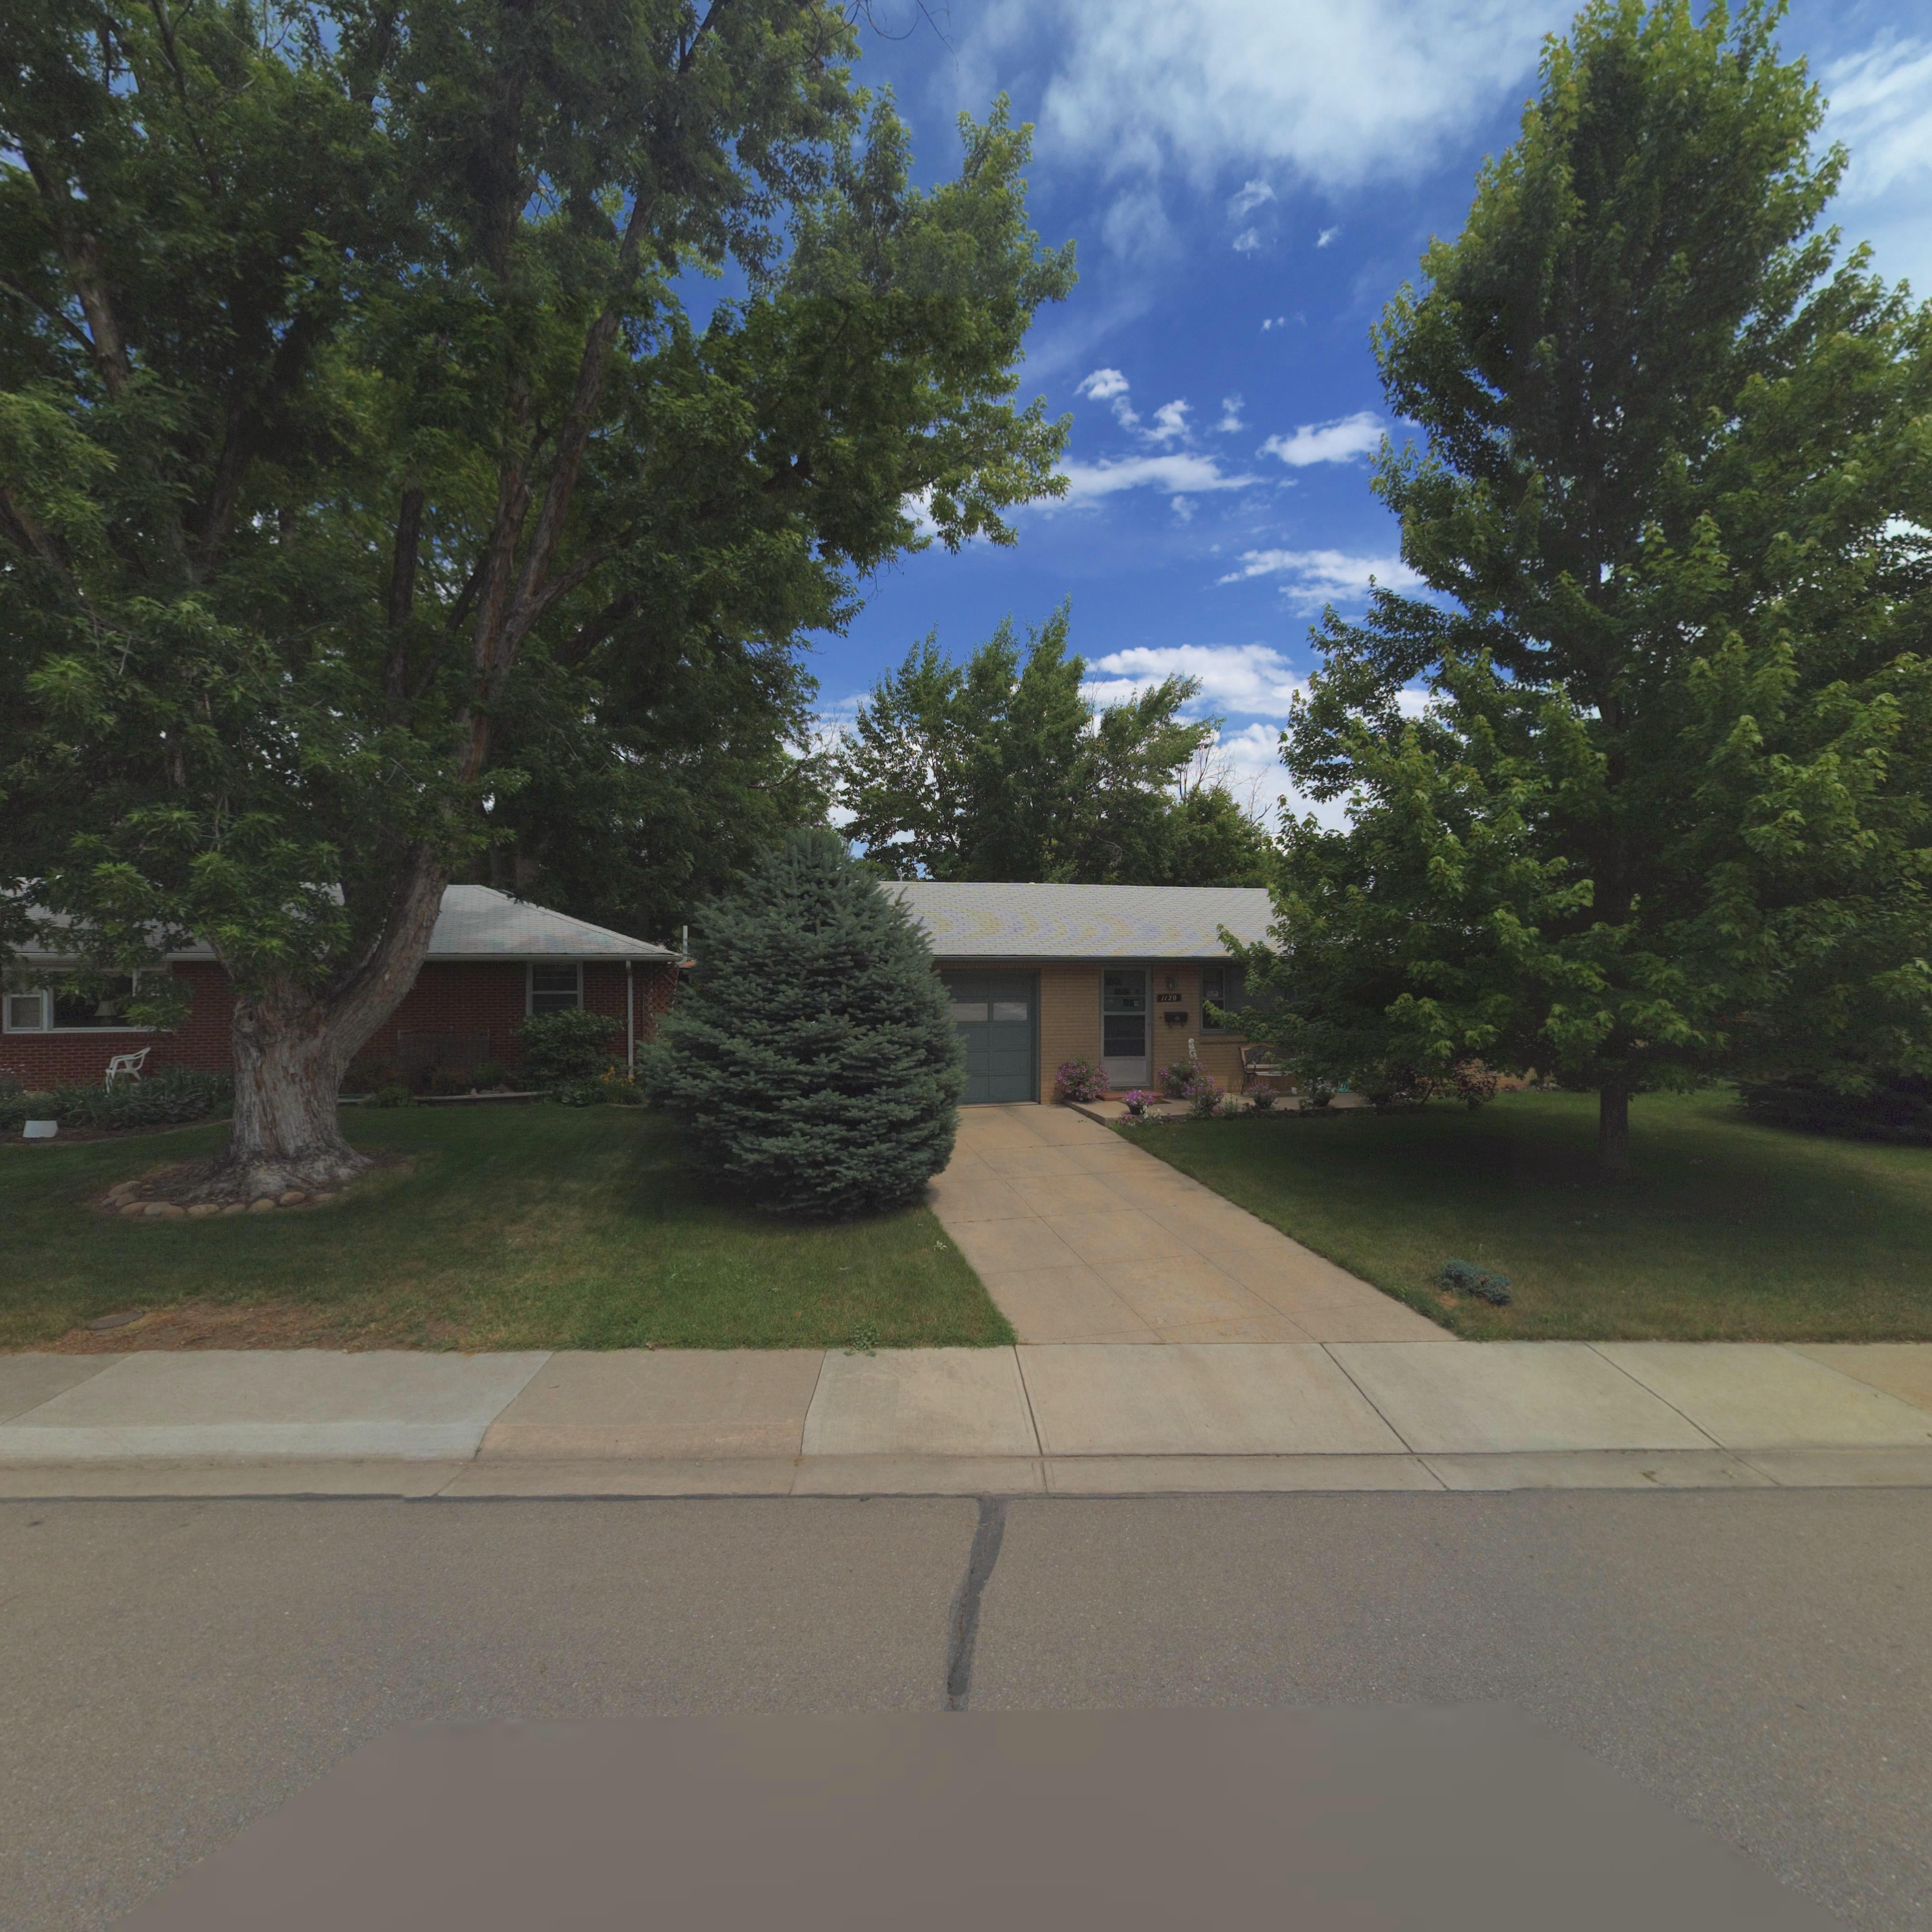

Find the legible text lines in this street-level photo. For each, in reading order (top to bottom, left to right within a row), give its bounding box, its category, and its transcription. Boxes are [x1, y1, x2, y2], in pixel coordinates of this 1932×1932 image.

[1160, 995, 1177, 1001] StreetNumber: 1120